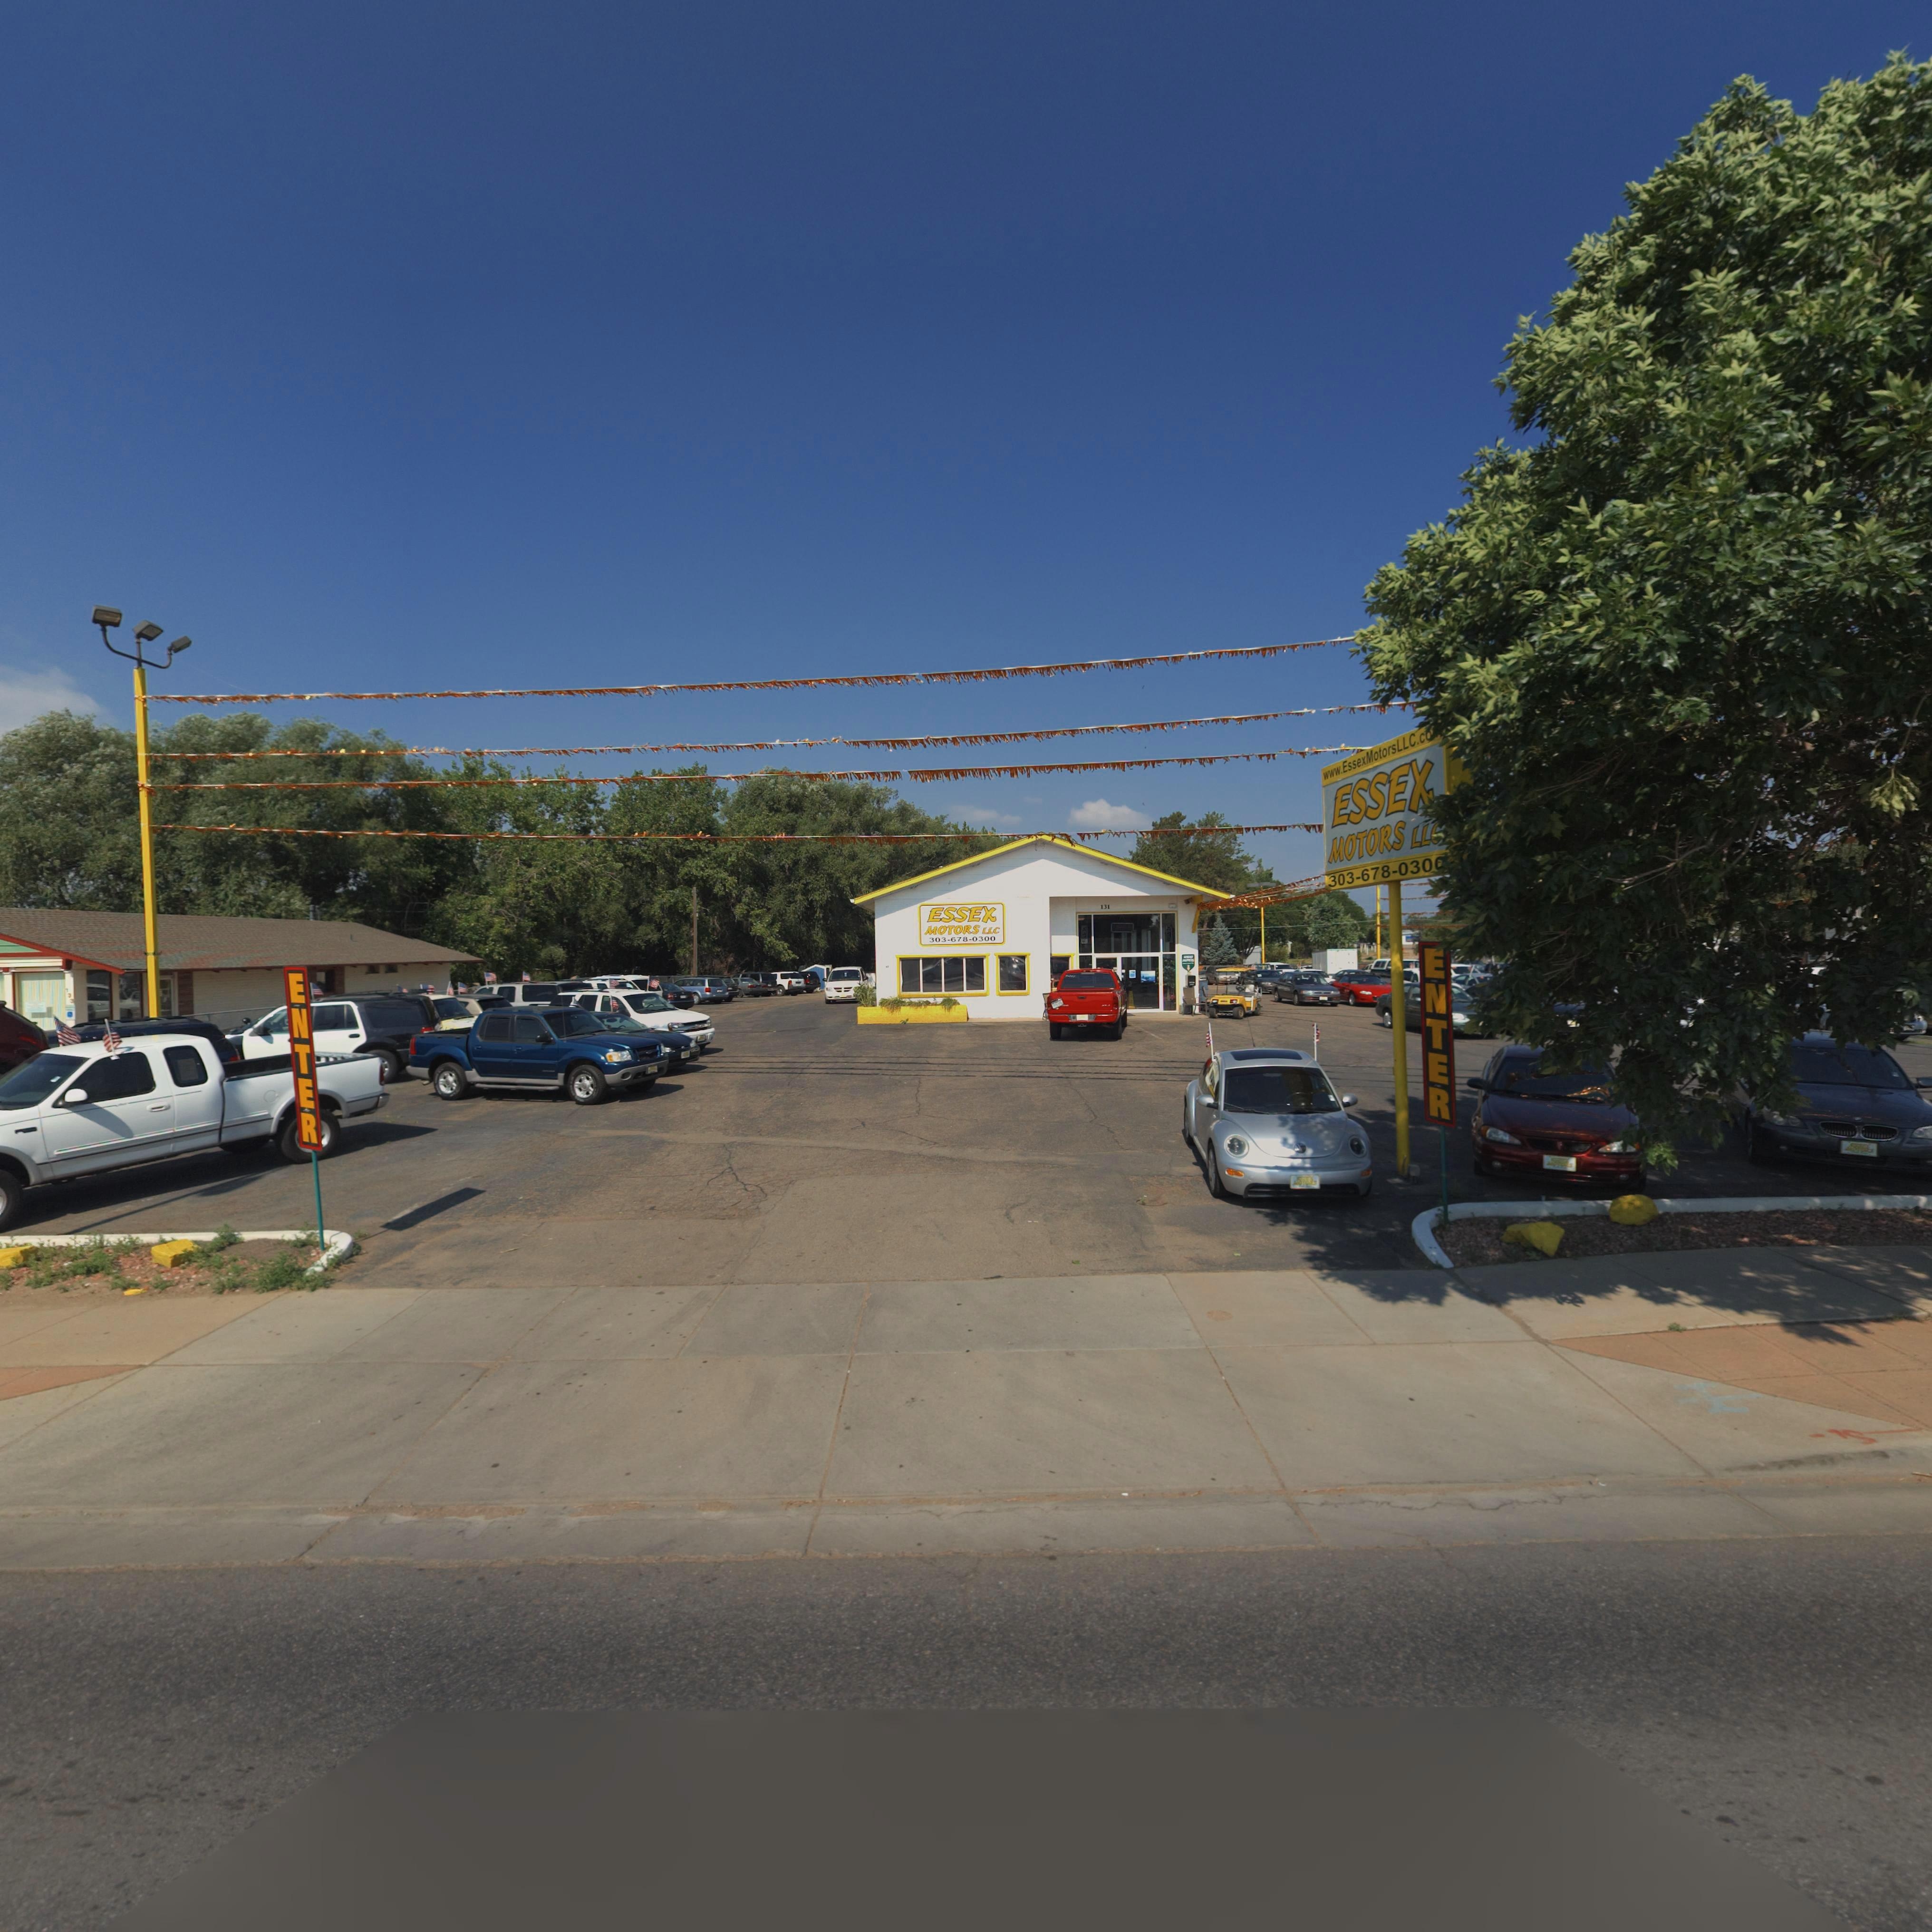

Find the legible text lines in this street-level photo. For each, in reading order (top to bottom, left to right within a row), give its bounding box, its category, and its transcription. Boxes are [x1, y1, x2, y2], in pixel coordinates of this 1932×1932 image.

[1332, 759, 1435, 828] BusinessName: ESSE*
[1327, 820, 1441, 864] BusinessName: MOTORS LL*
[927, 906, 997, 923] BusinessName: ESSEX
[1101, 904, 1110, 909] StreetNumber: 131
[923, 924, 1000, 936] BusinessName: MOTORS LLC
[65, 987, 75, 1004] StreetNumber: 133